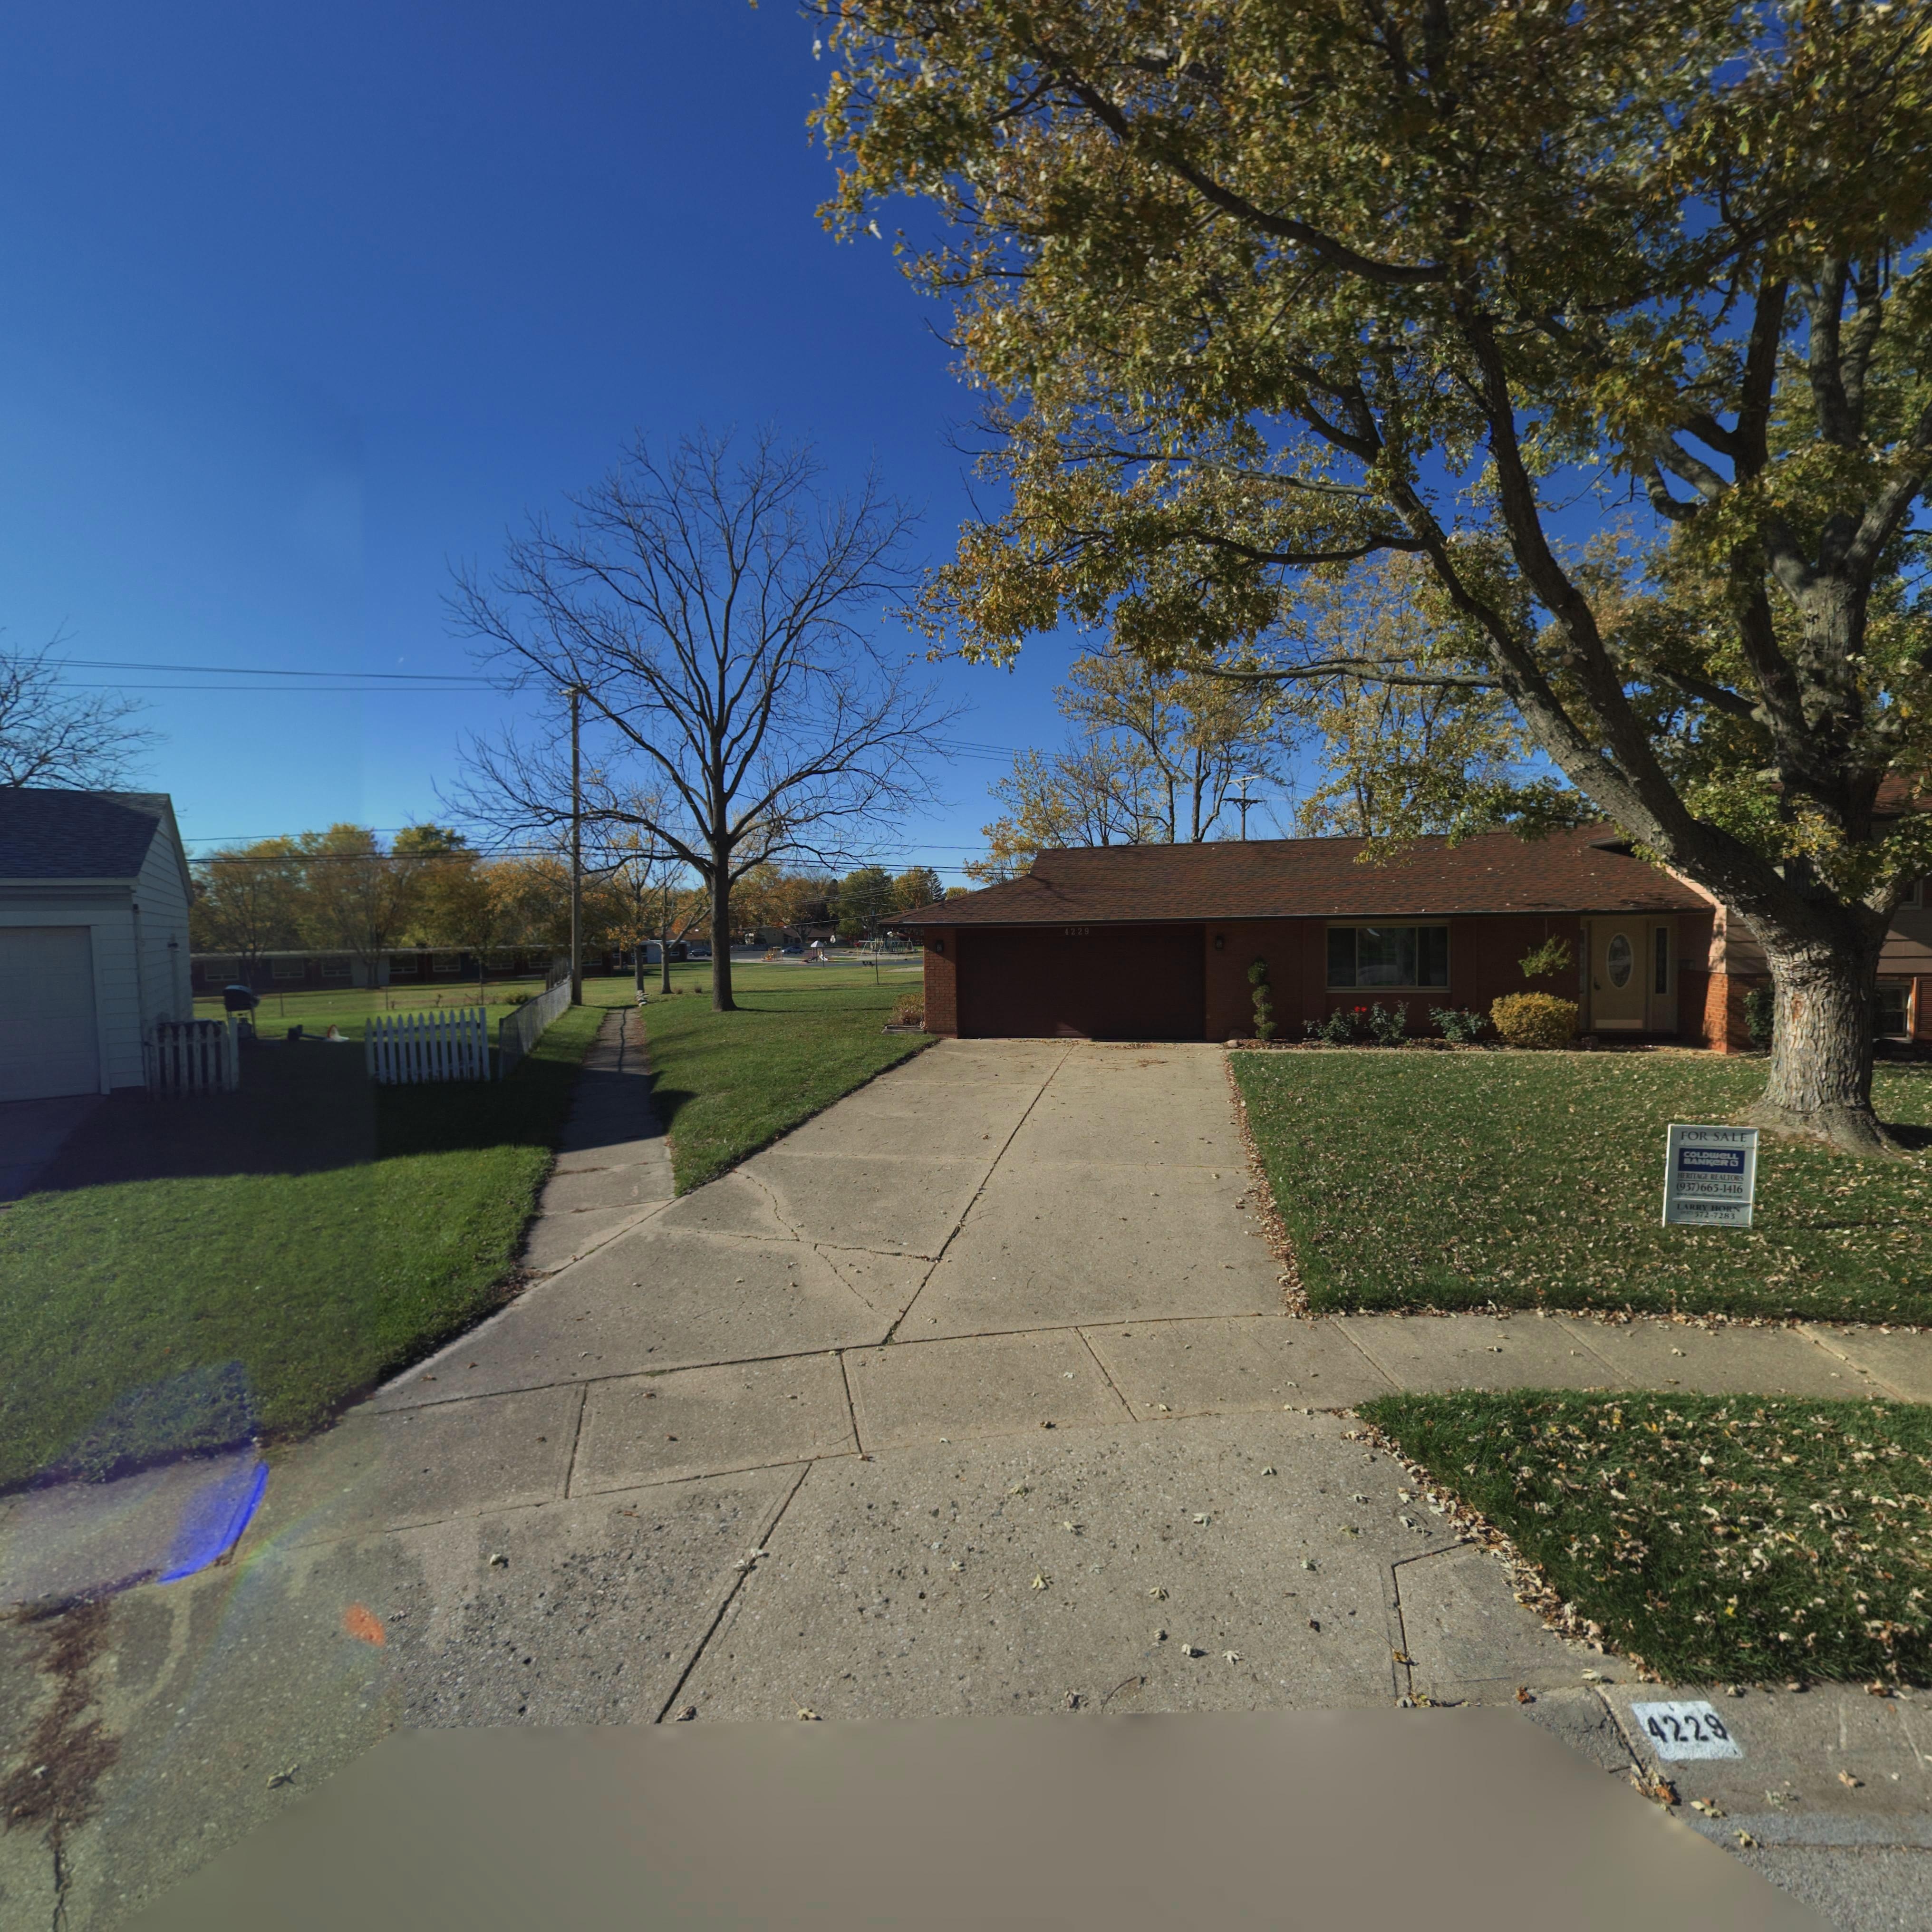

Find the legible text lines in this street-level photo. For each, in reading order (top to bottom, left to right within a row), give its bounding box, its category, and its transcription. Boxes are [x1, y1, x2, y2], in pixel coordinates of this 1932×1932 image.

[1063, 927, 1091, 936] StreetNumber: 4229
[1681, 1130, 1748, 1143] None: FOR SALE
[1682, 1150, 1740, 1160] None: COLDWeLL
[1683, 1158, 1730, 1167] None: BANKeR
[1677, 1171, 1745, 1182] None: HERITAGE REALTORS
[1675, 1180, 1743, 1195] None: (937)6665-1416
[1676, 1202, 1742, 1214] None: LARRY HORN
[1693, 1211, 1737, 1220] None: *72-7283
[1644, 1710, 1731, 1747] StreetNumber: 4229